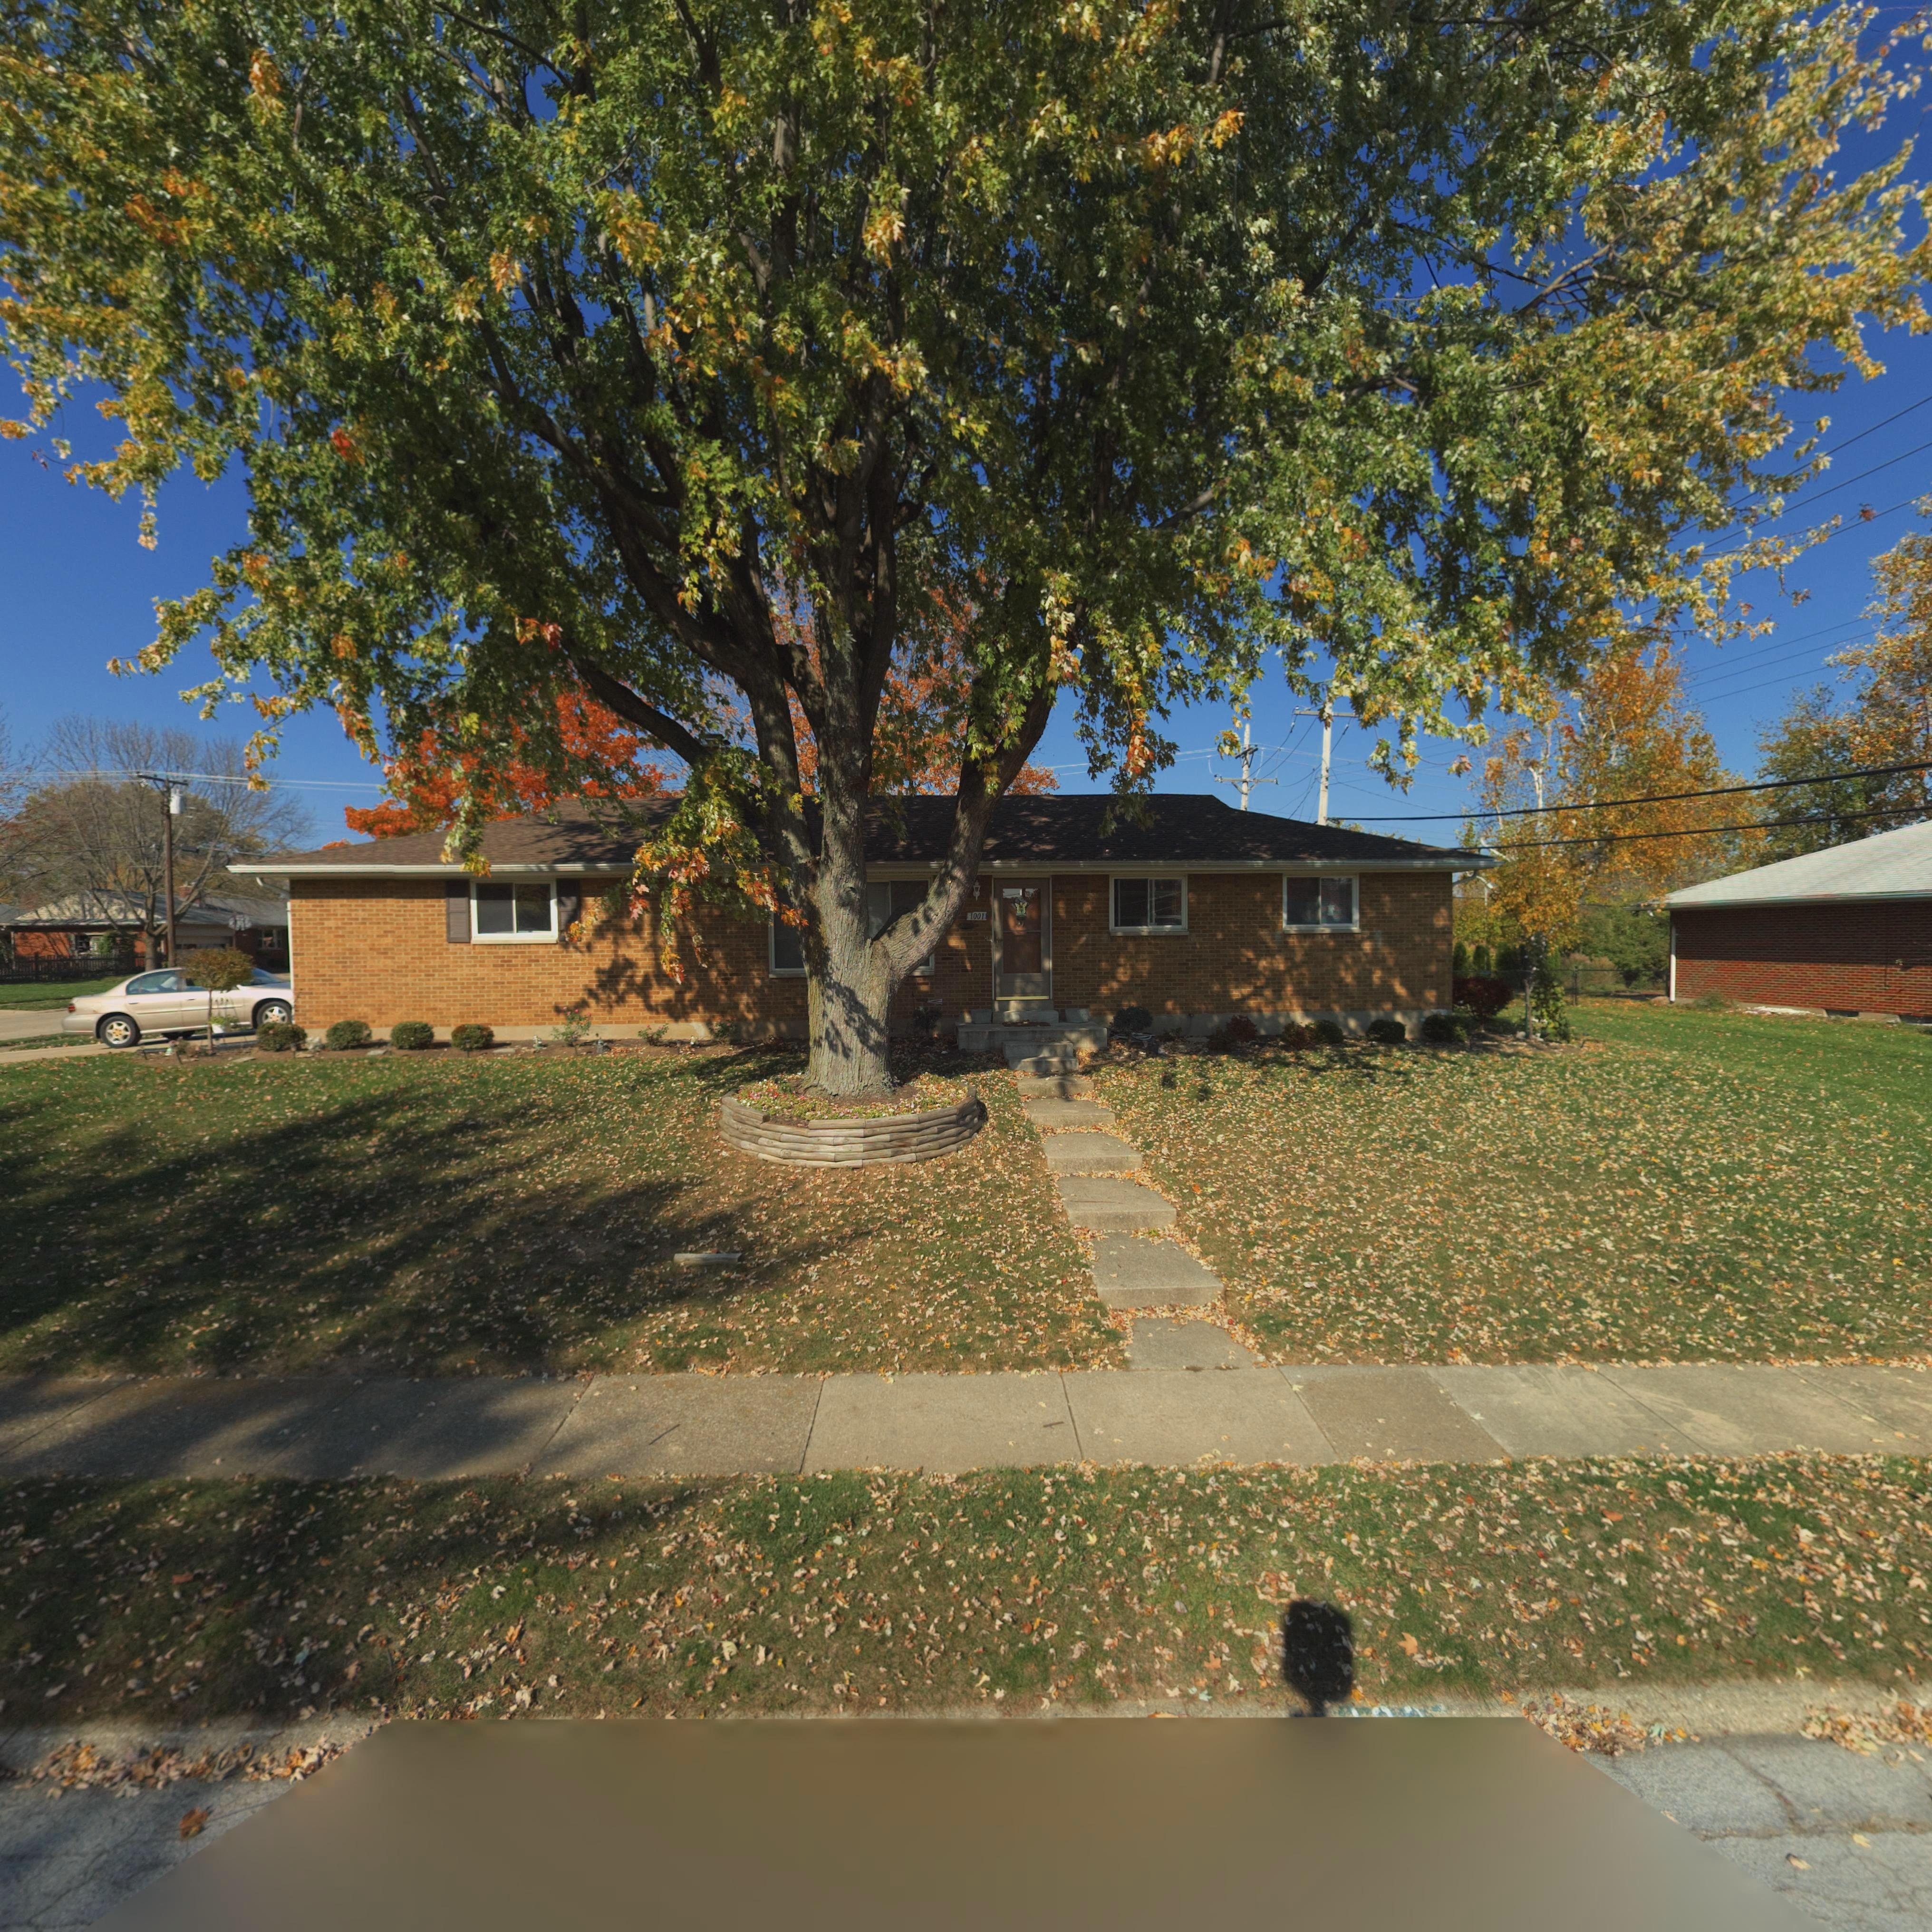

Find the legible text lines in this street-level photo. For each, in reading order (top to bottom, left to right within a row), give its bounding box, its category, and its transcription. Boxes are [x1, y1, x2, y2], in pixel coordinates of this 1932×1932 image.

[970, 912, 984, 920] StreetNumber: 1001